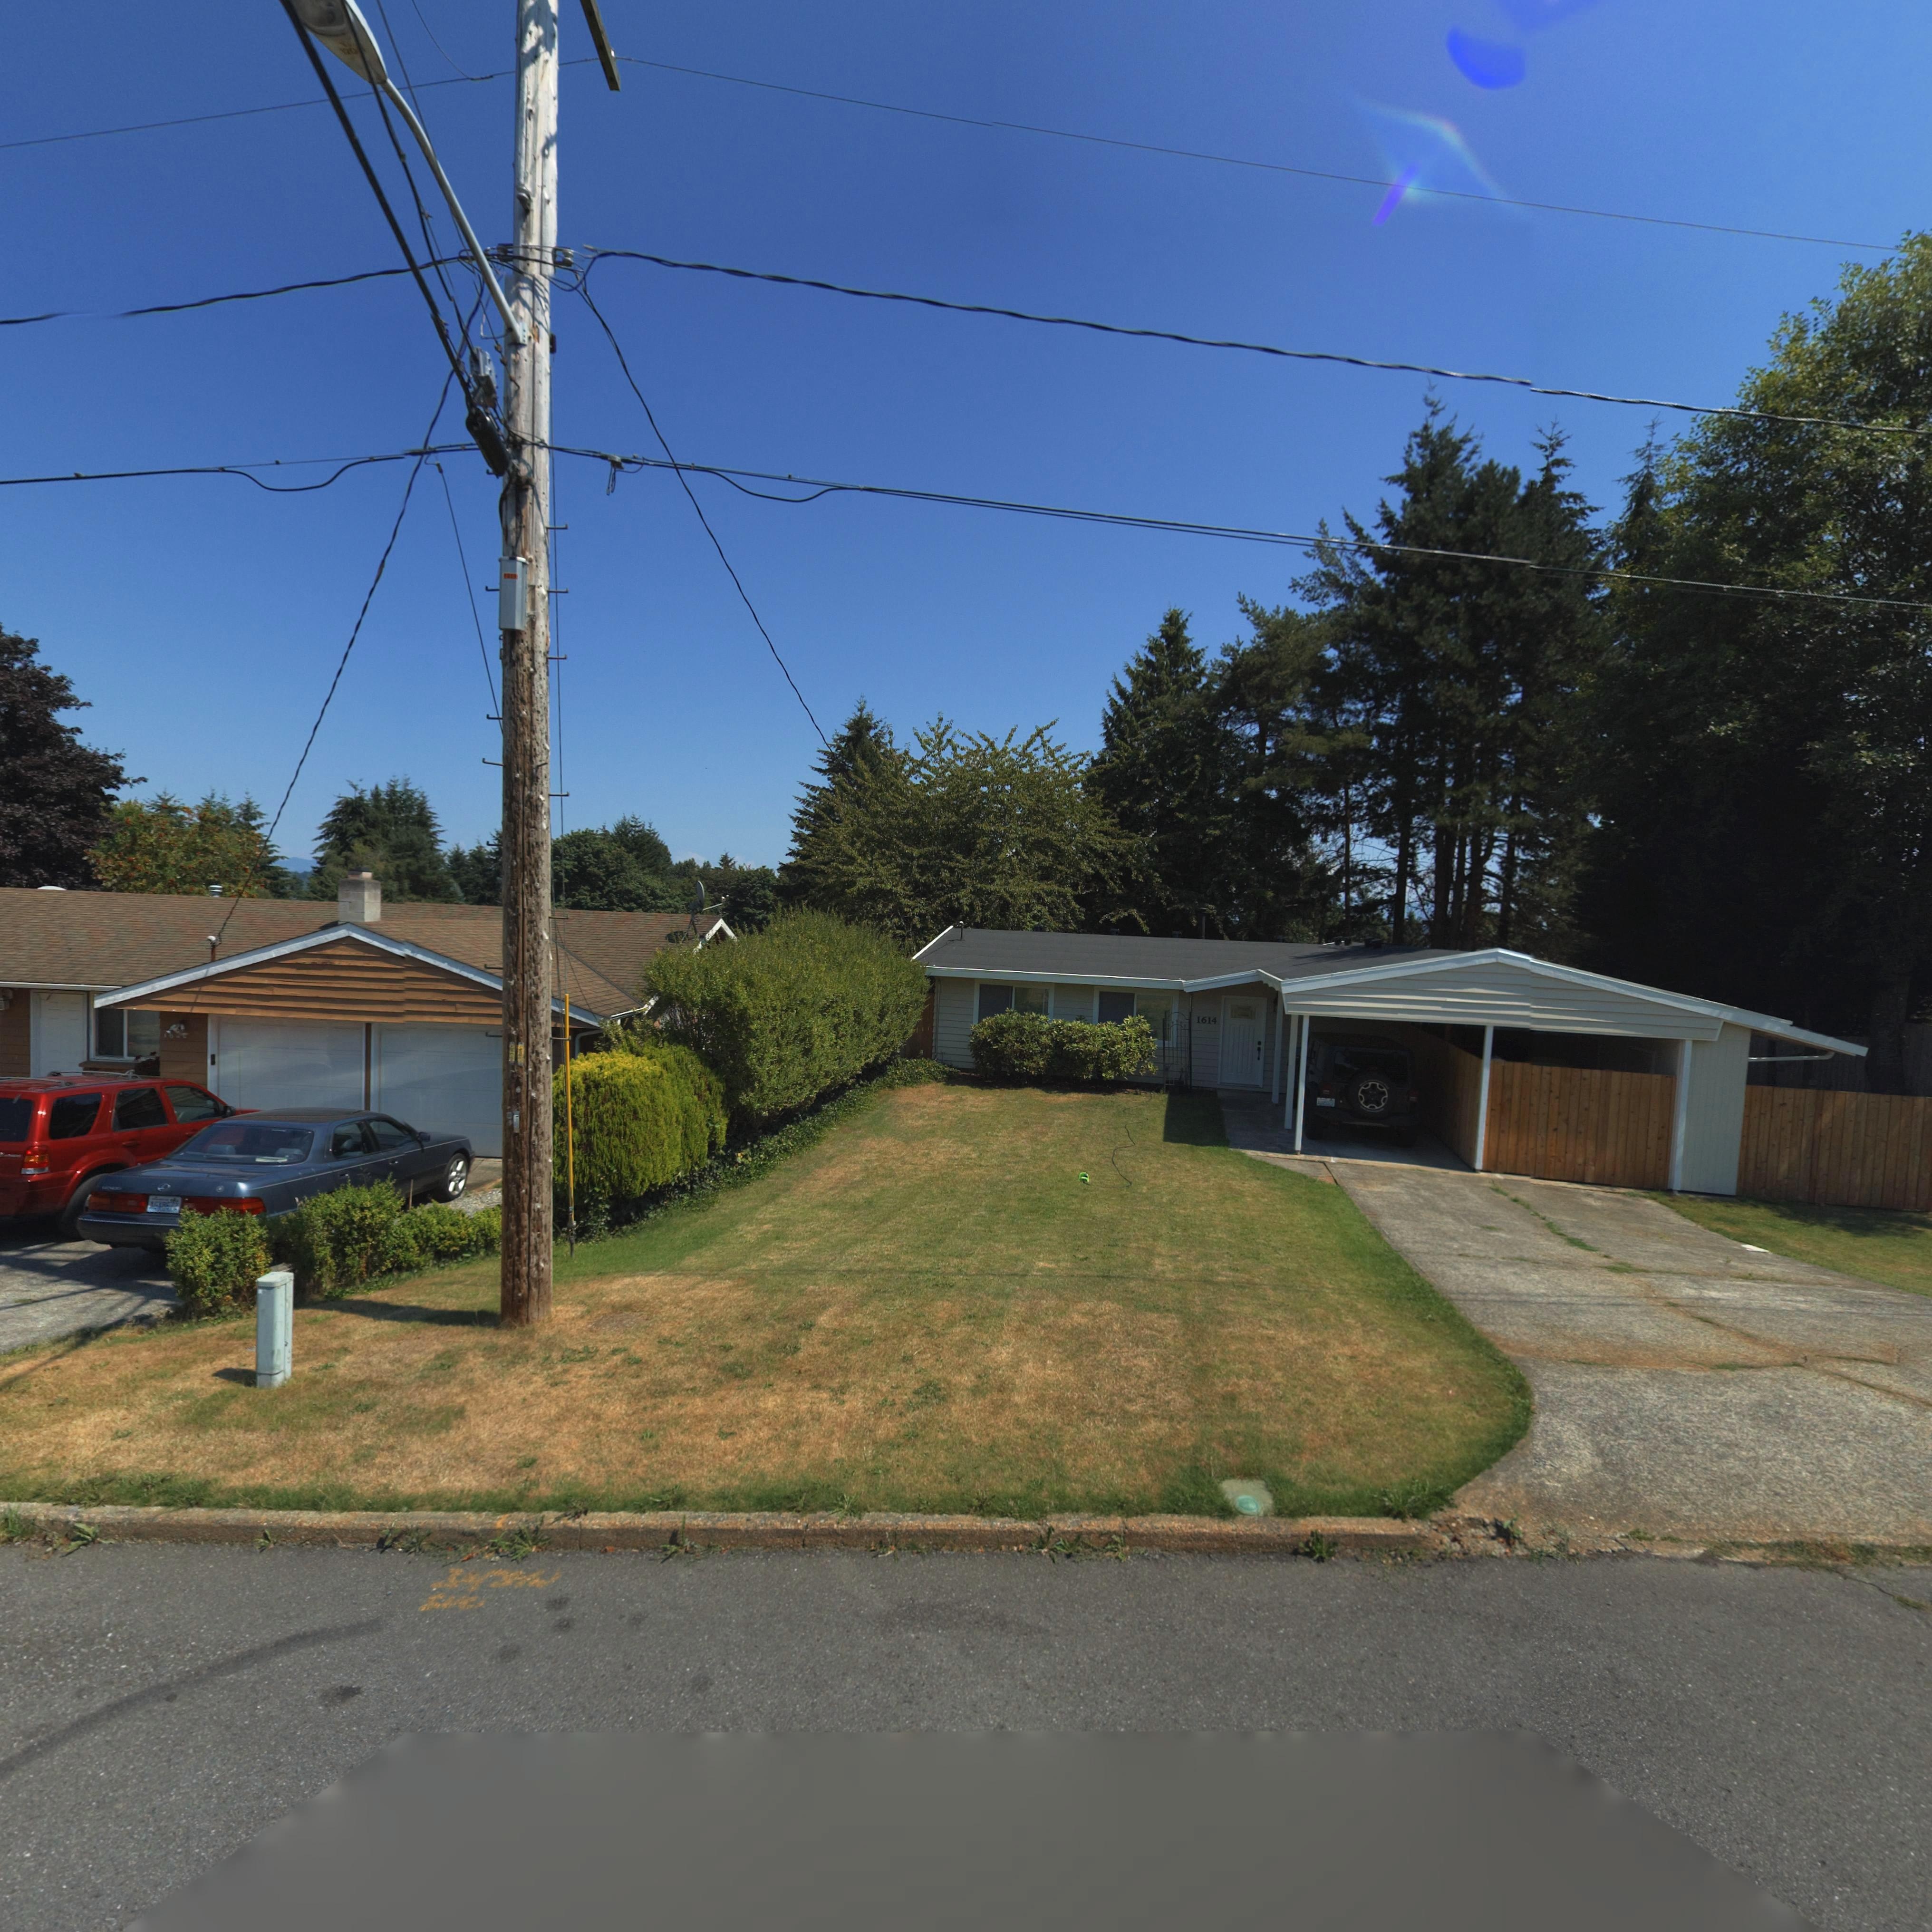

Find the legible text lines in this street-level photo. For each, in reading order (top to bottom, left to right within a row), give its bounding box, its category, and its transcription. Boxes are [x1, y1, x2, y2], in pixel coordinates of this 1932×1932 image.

[1197, 1016, 1216, 1024] StreetNumber: 1614